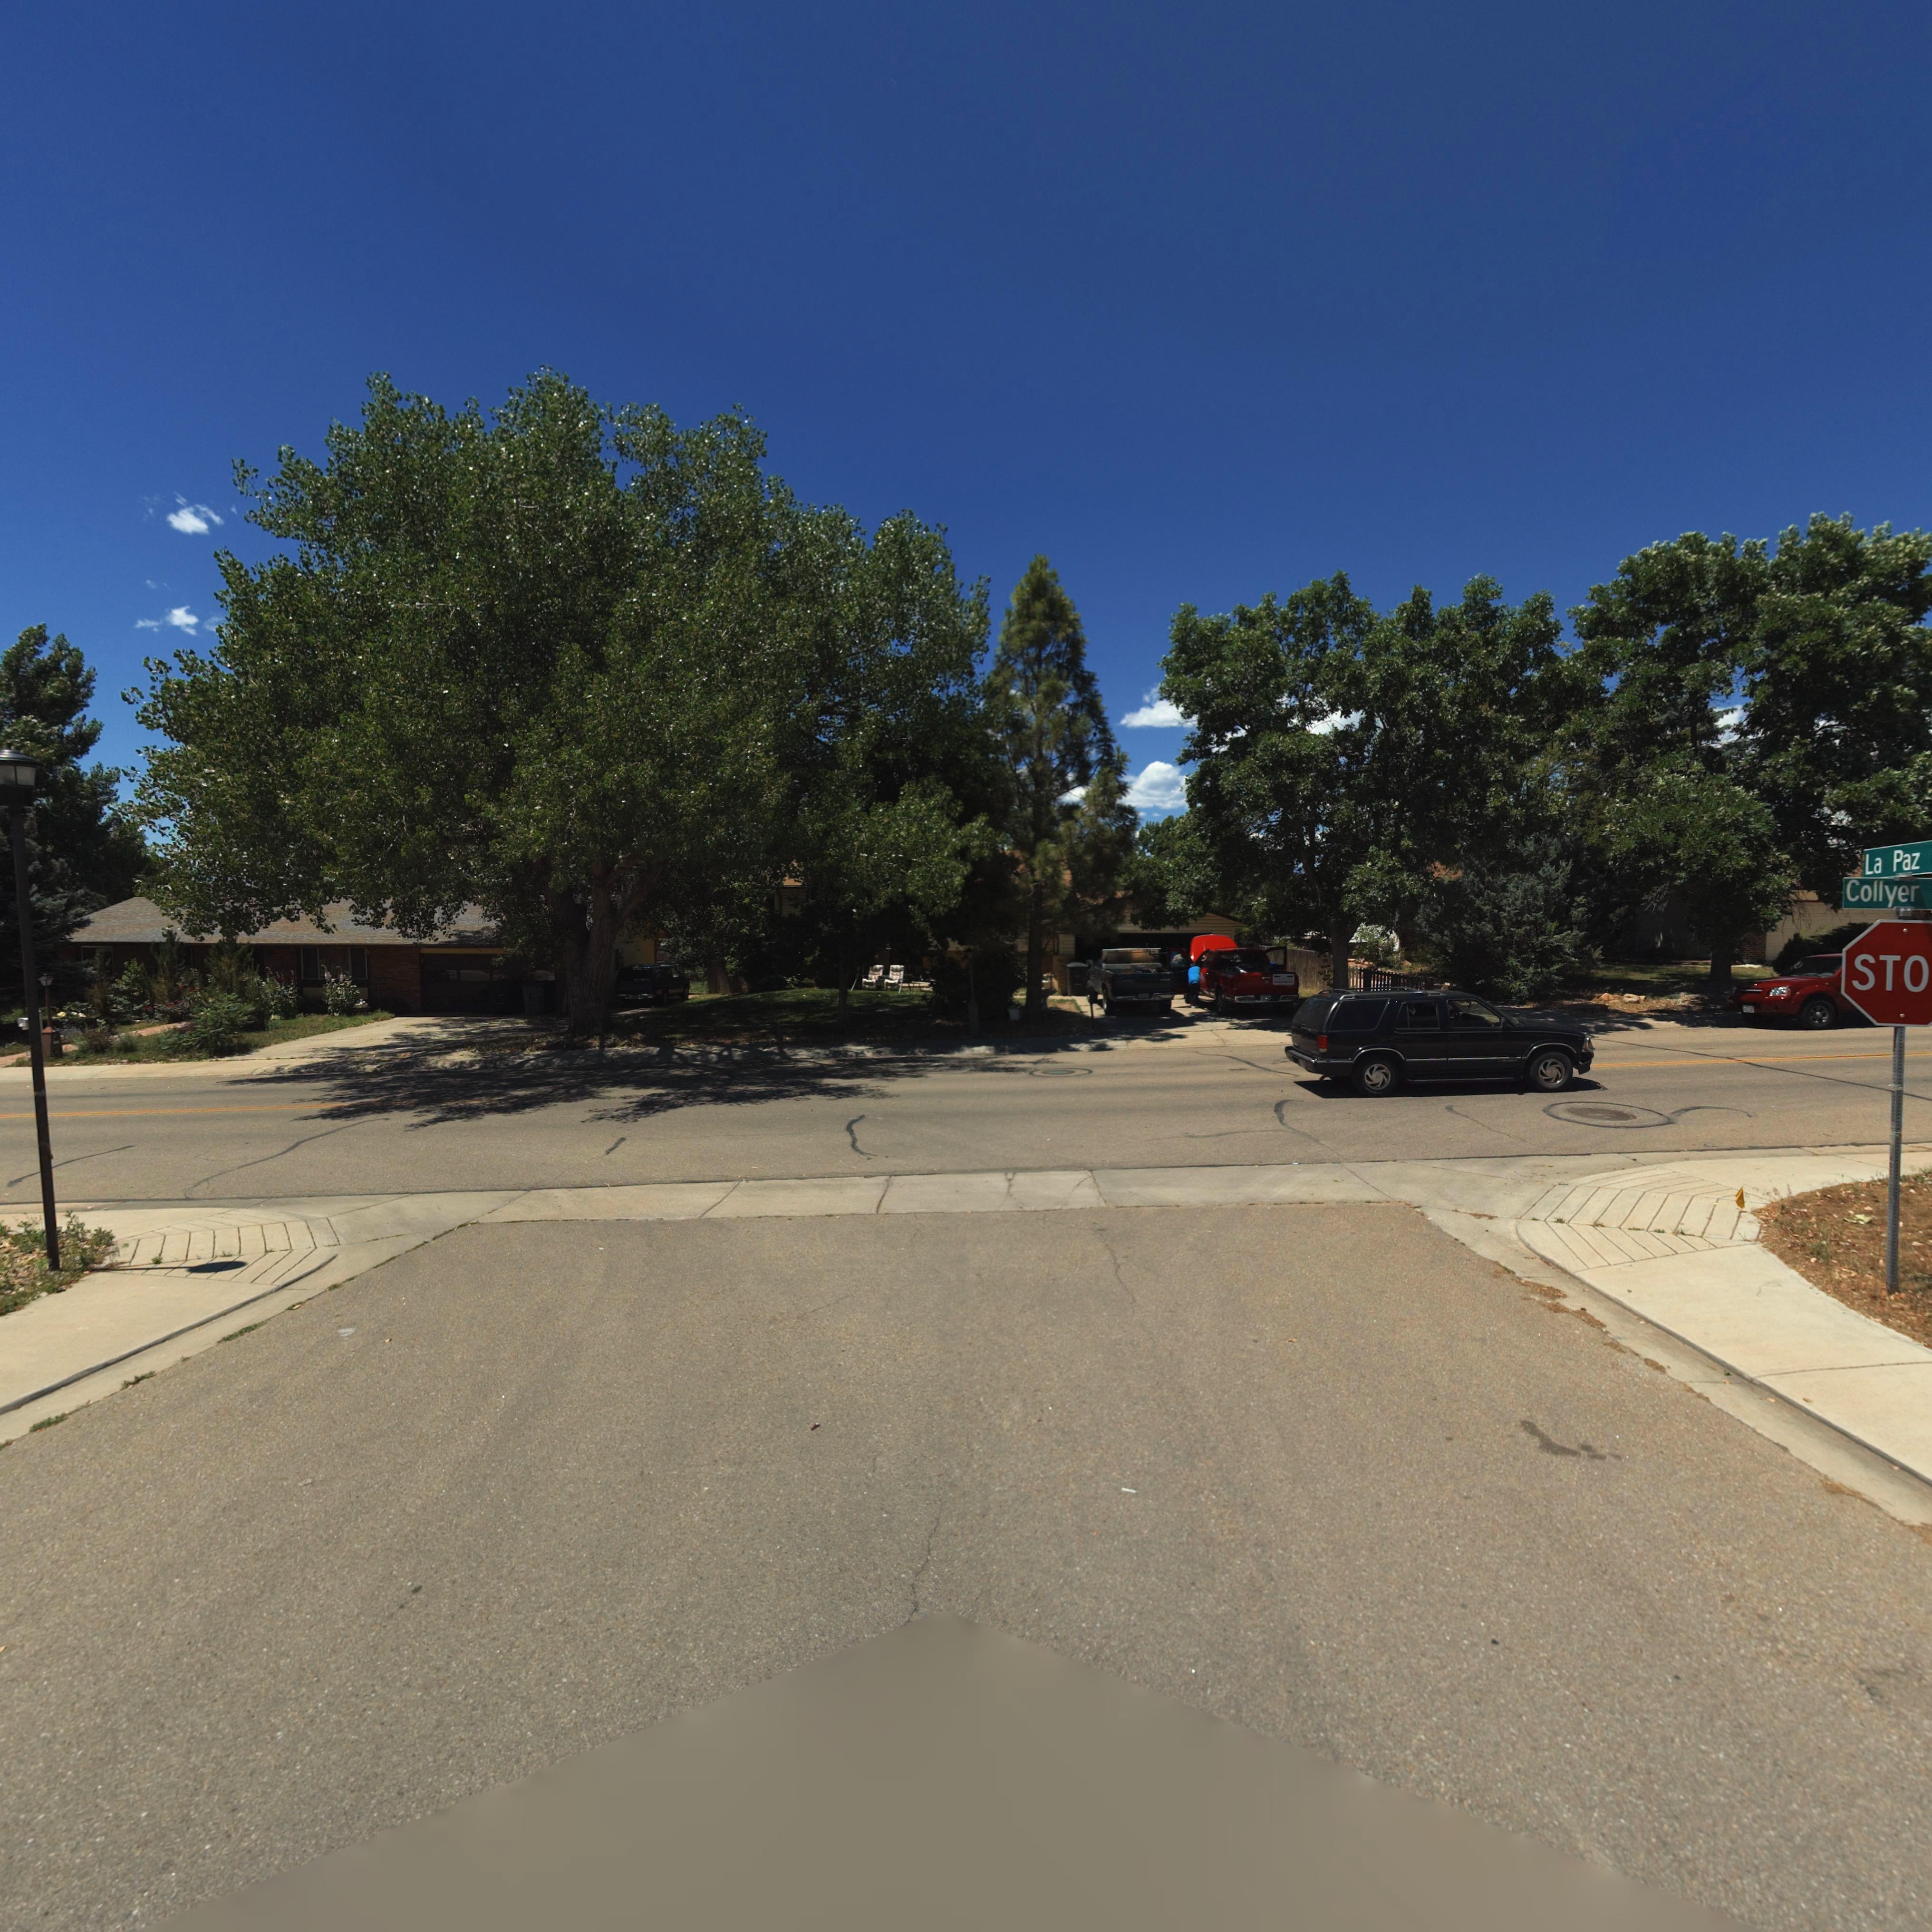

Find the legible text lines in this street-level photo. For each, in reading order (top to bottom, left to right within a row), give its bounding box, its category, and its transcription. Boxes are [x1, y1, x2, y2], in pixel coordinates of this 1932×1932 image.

[1864, 849, 1921, 875] StreetName: La Paz
[1845, 879, 1920, 908] StreetName: Collyer